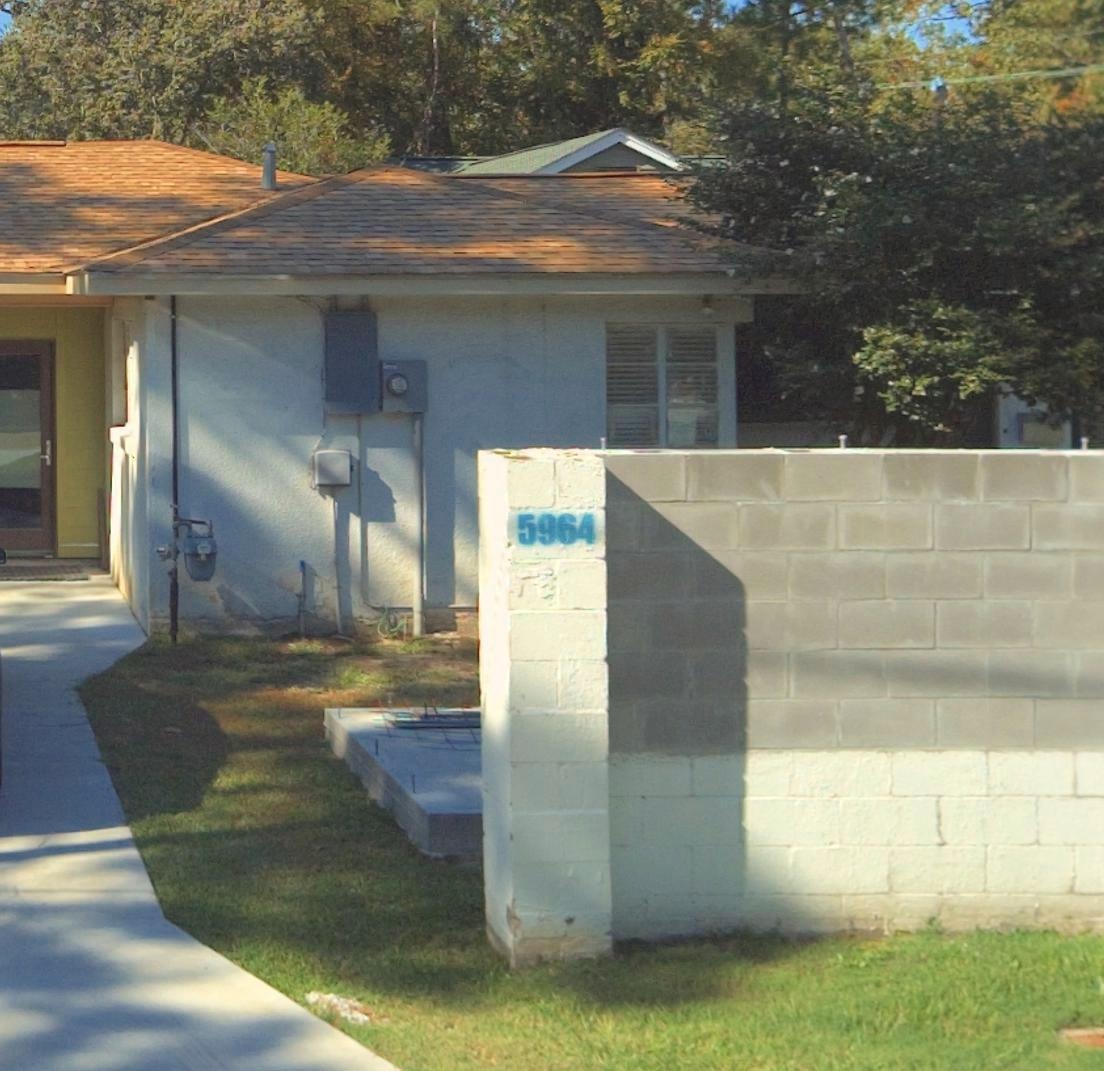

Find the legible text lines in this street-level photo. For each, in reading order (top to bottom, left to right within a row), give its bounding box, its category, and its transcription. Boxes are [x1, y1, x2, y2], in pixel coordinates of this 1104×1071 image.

[516, 512, 596, 546] StreetNumber: 5964